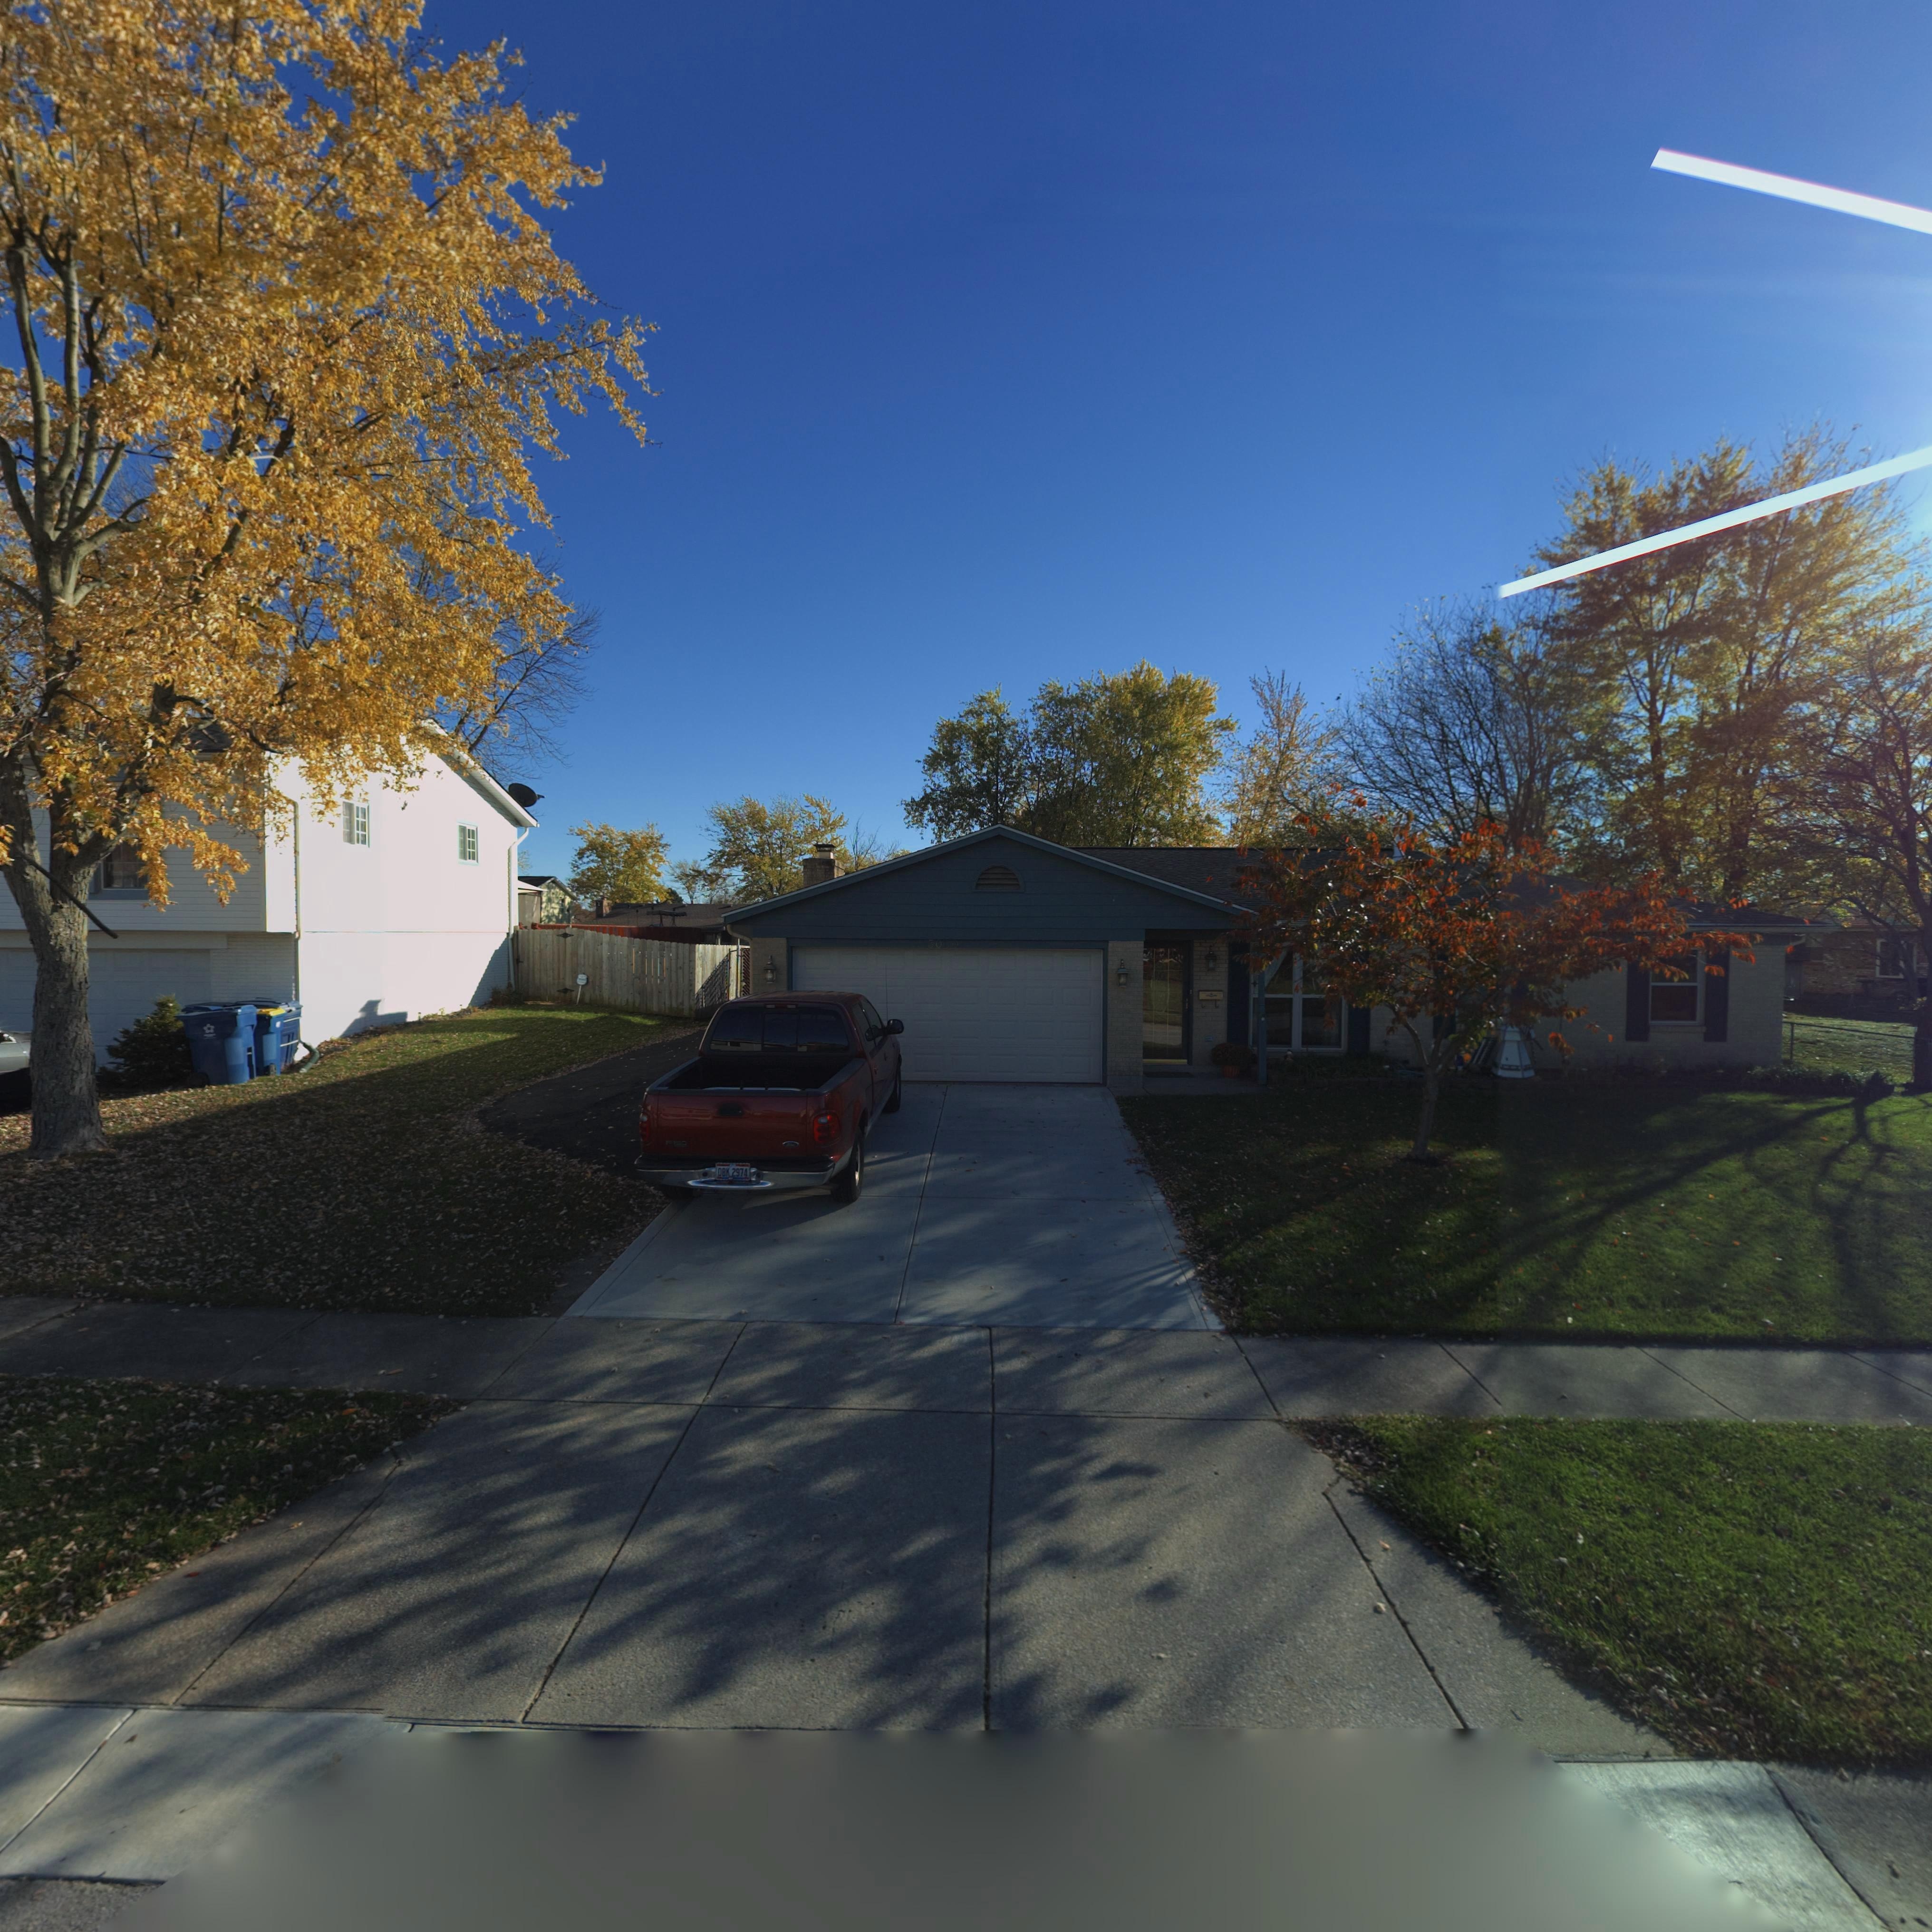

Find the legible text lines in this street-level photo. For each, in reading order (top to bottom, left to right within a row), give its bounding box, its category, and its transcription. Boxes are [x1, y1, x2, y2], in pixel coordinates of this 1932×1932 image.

[927, 938, 959, 949] StreetNumber: 50*0